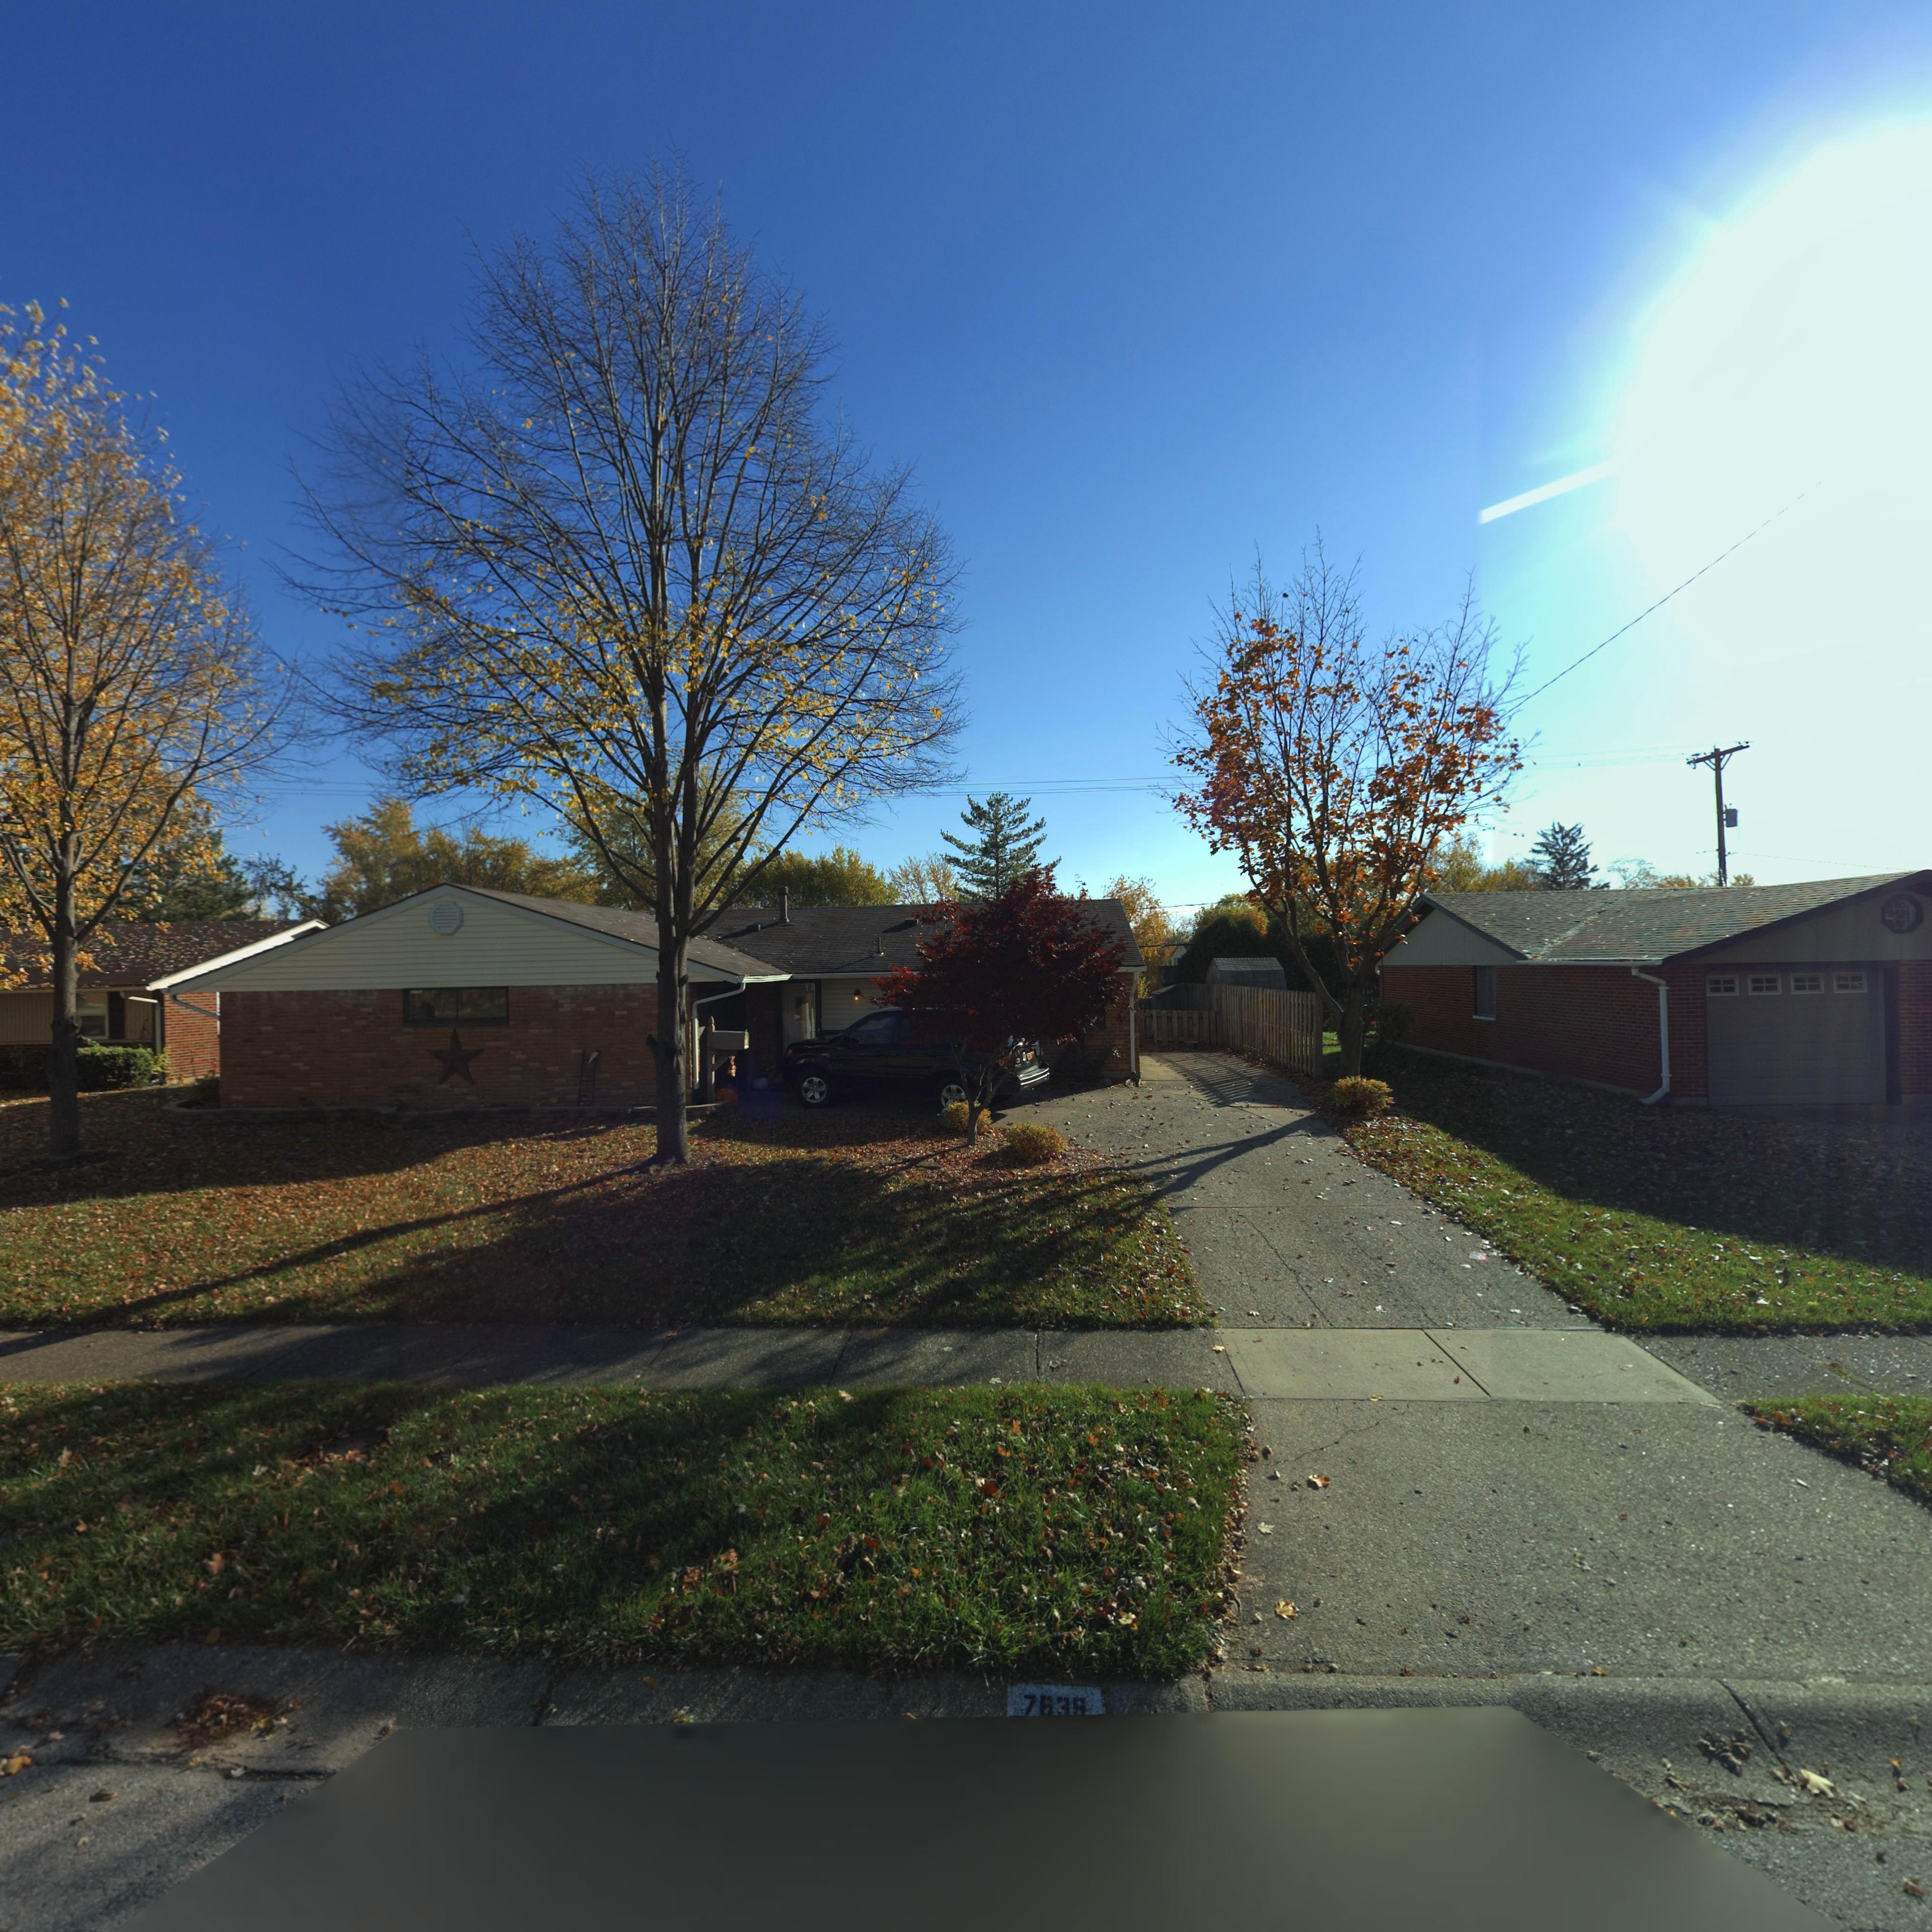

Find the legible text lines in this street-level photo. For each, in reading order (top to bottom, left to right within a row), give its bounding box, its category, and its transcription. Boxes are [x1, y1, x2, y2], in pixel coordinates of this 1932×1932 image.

[706, 1052, 713, 1082] StreetNumber: ***6
[1020, 1692, 1089, 1721] StreetNumber: 763*